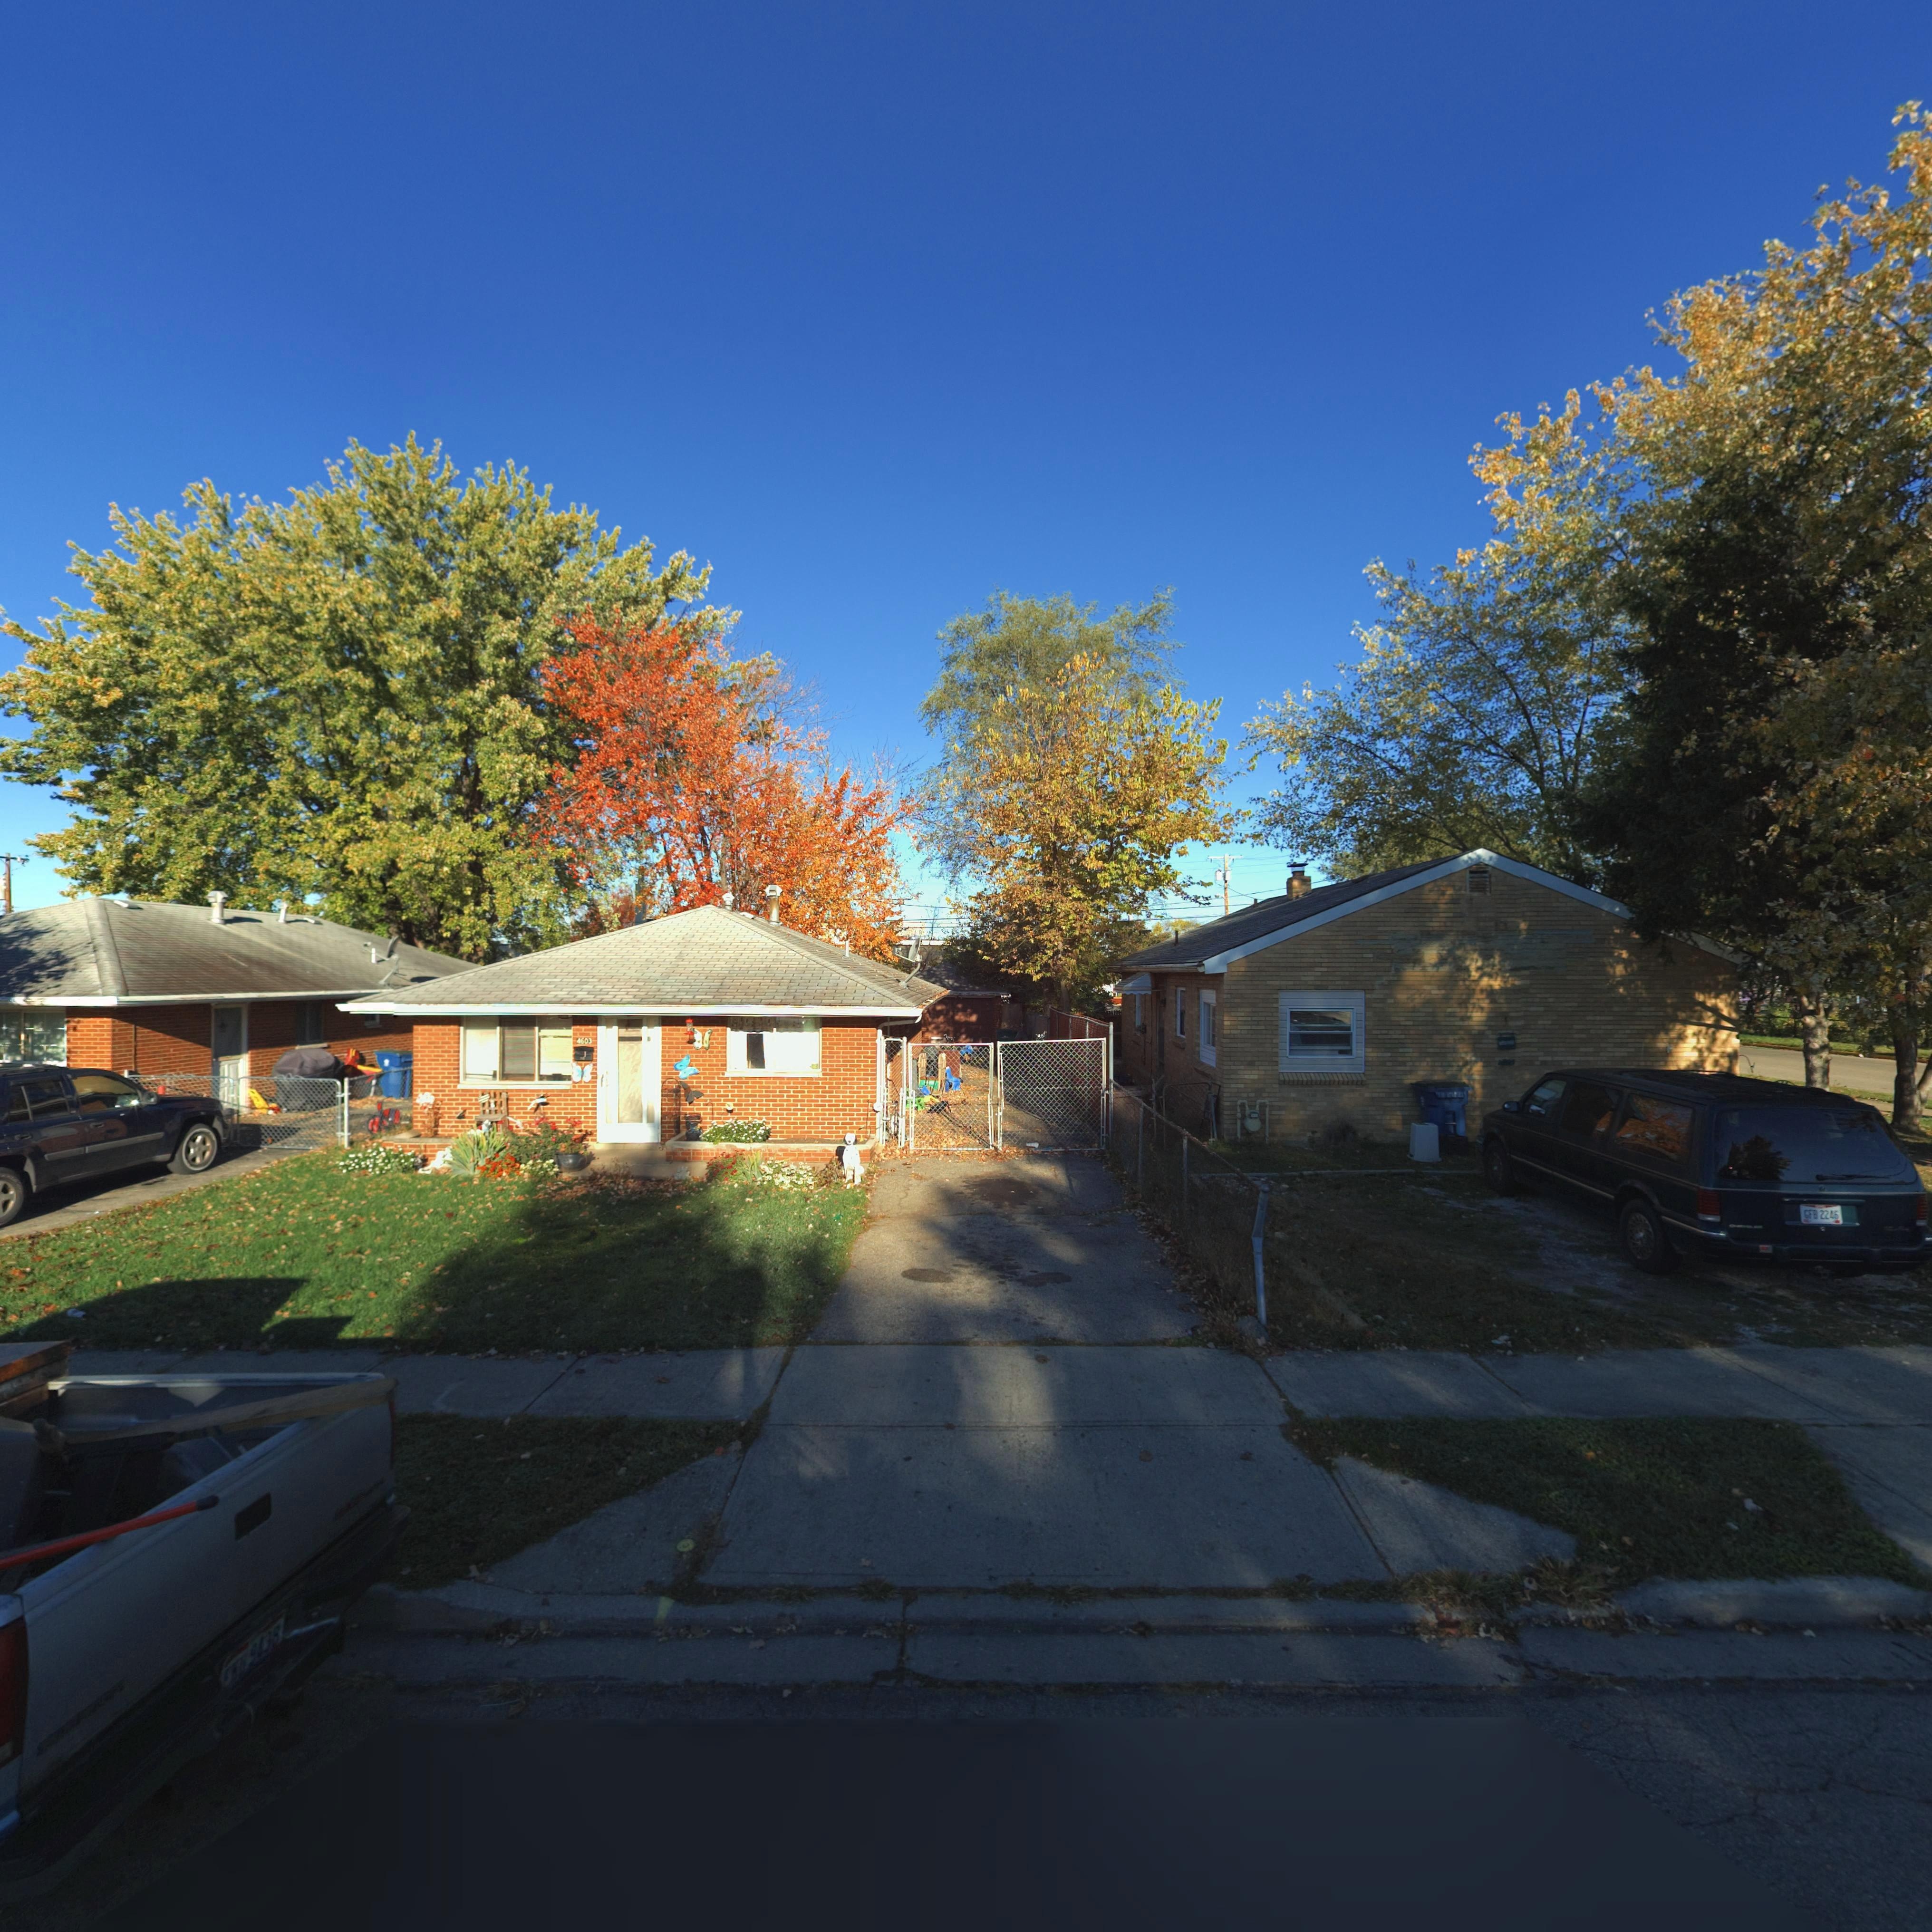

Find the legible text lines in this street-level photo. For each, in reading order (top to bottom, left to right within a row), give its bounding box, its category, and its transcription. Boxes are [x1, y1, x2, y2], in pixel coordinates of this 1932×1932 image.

[576, 1037, 592, 1044] StreetNumber: 4603